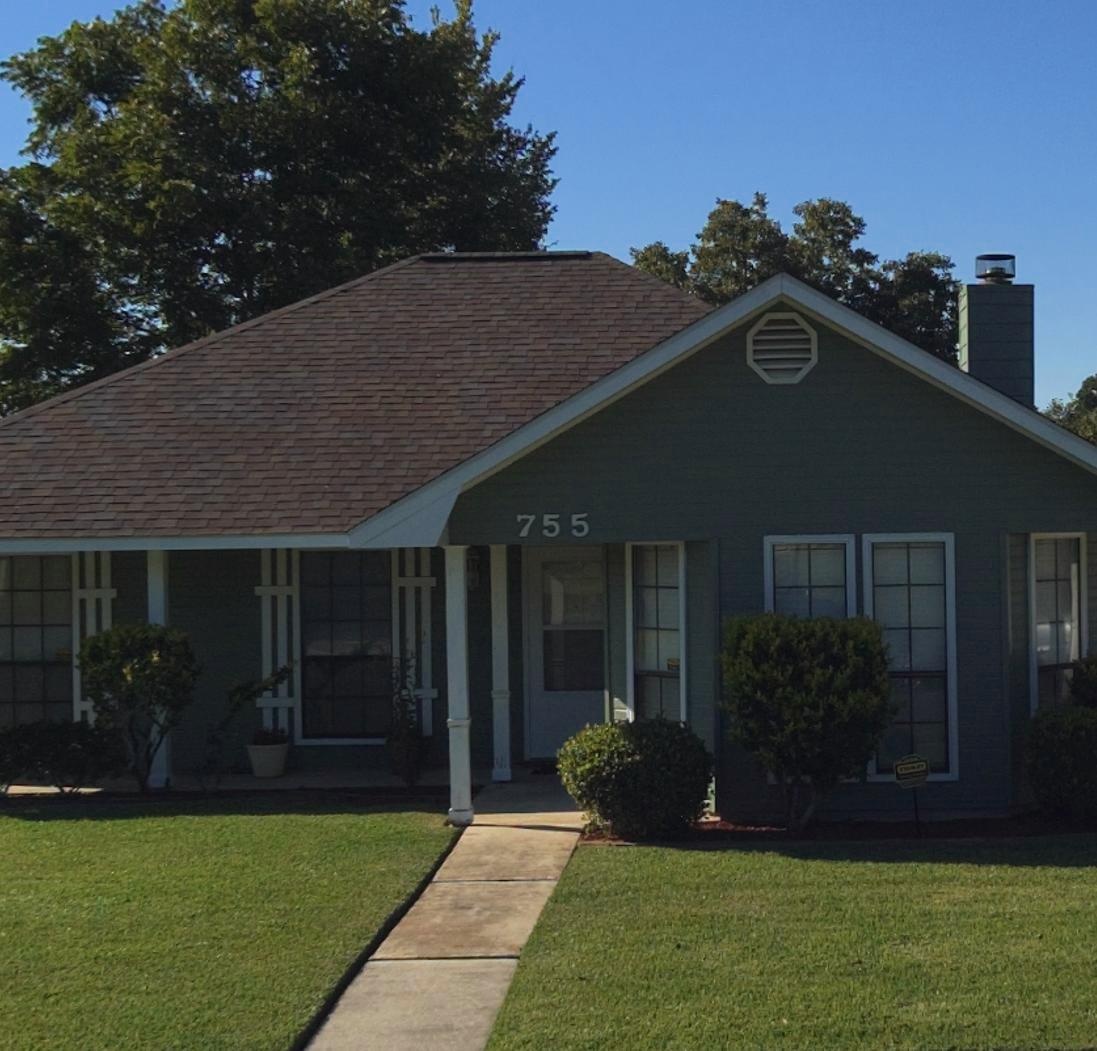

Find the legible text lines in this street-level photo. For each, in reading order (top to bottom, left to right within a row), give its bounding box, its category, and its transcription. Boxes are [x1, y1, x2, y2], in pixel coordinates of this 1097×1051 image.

[516, 510, 591, 539] StreetNumber: 755